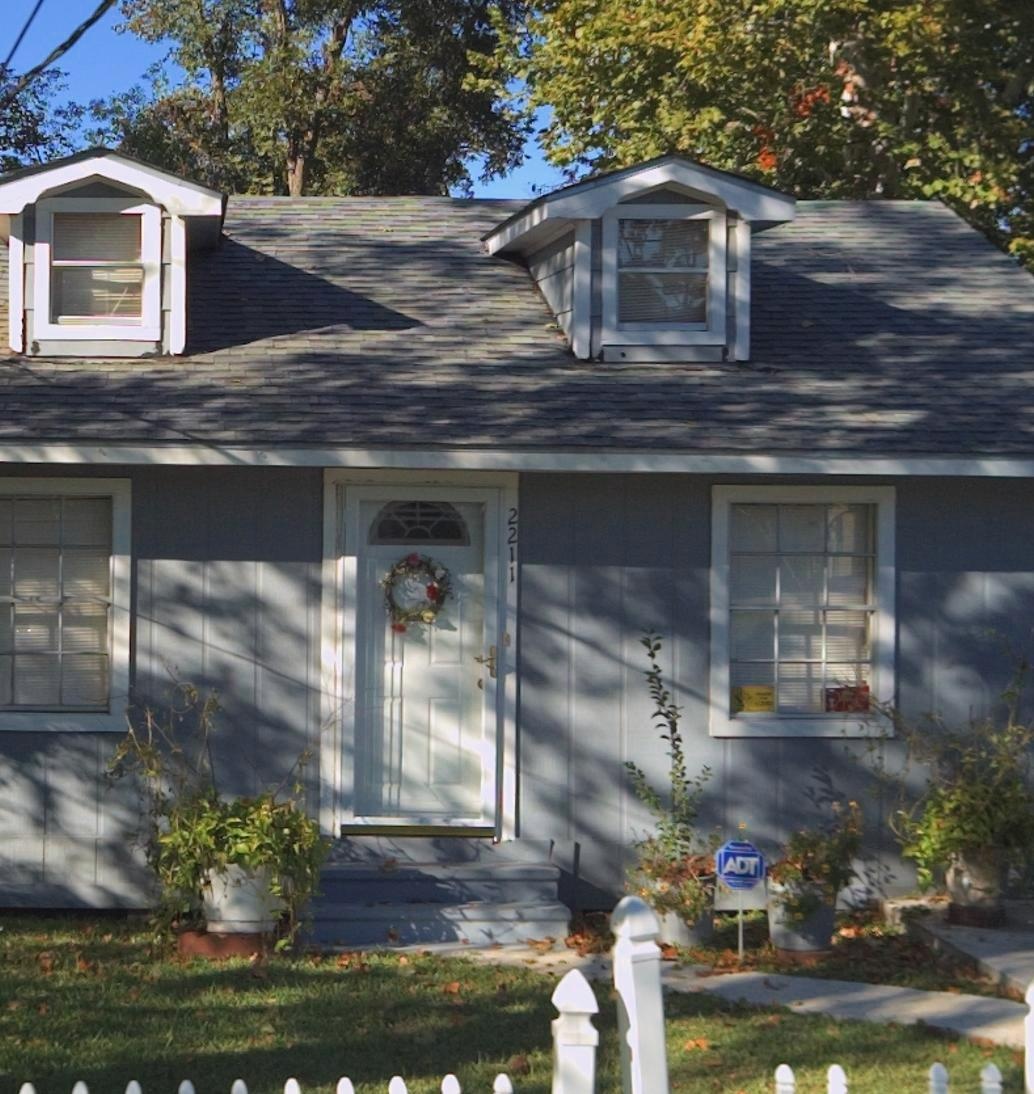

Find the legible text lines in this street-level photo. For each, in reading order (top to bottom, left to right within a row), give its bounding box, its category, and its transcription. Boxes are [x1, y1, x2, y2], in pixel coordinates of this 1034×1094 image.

[506, 506, 519, 585] StreetNumber: 2211
[720, 855, 762, 878] None: ADT